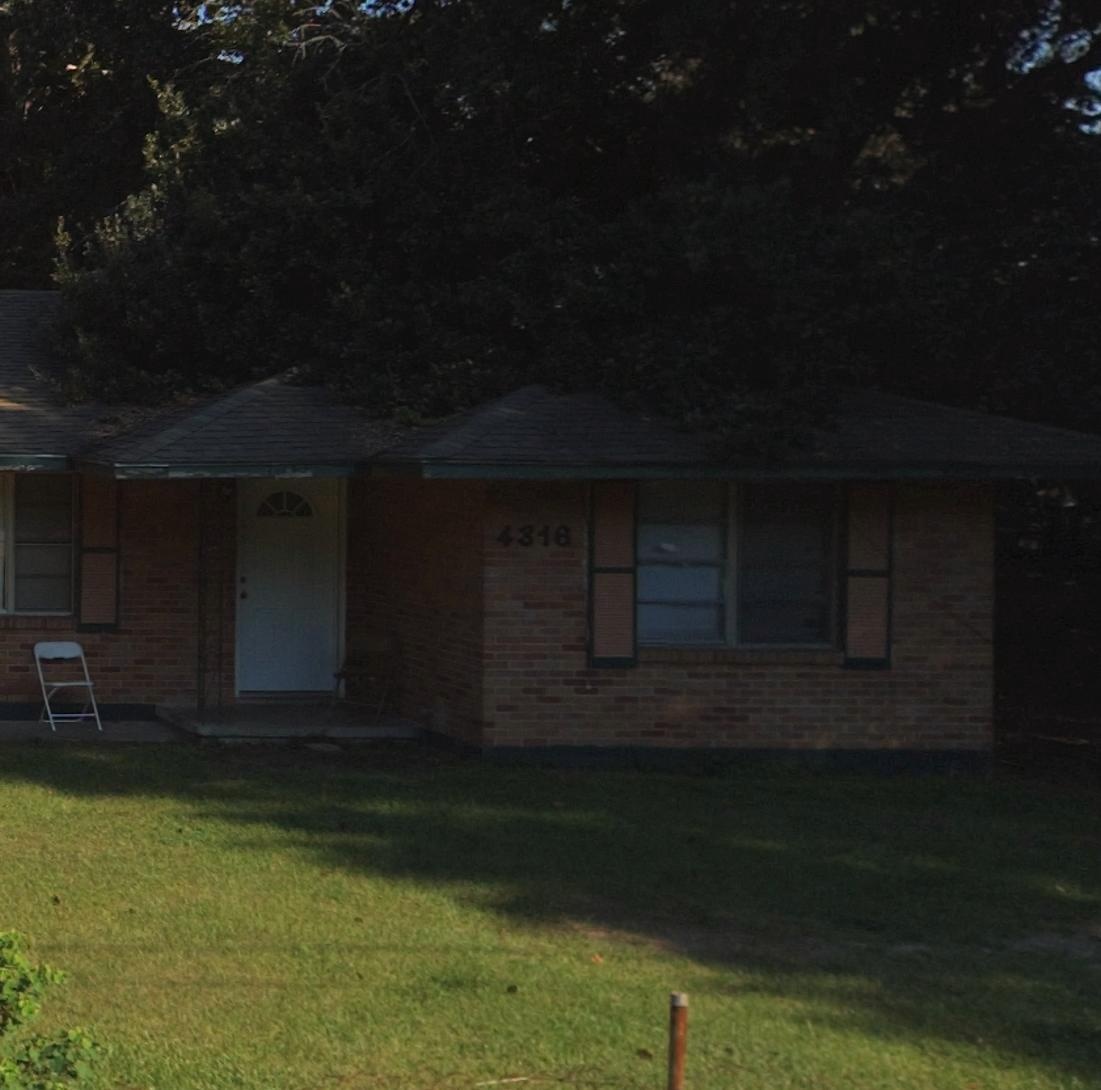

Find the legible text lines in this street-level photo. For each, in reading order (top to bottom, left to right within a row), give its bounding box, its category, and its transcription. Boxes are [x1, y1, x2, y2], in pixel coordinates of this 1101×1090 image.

[495, 522, 572, 548] StreetNumber: 4316